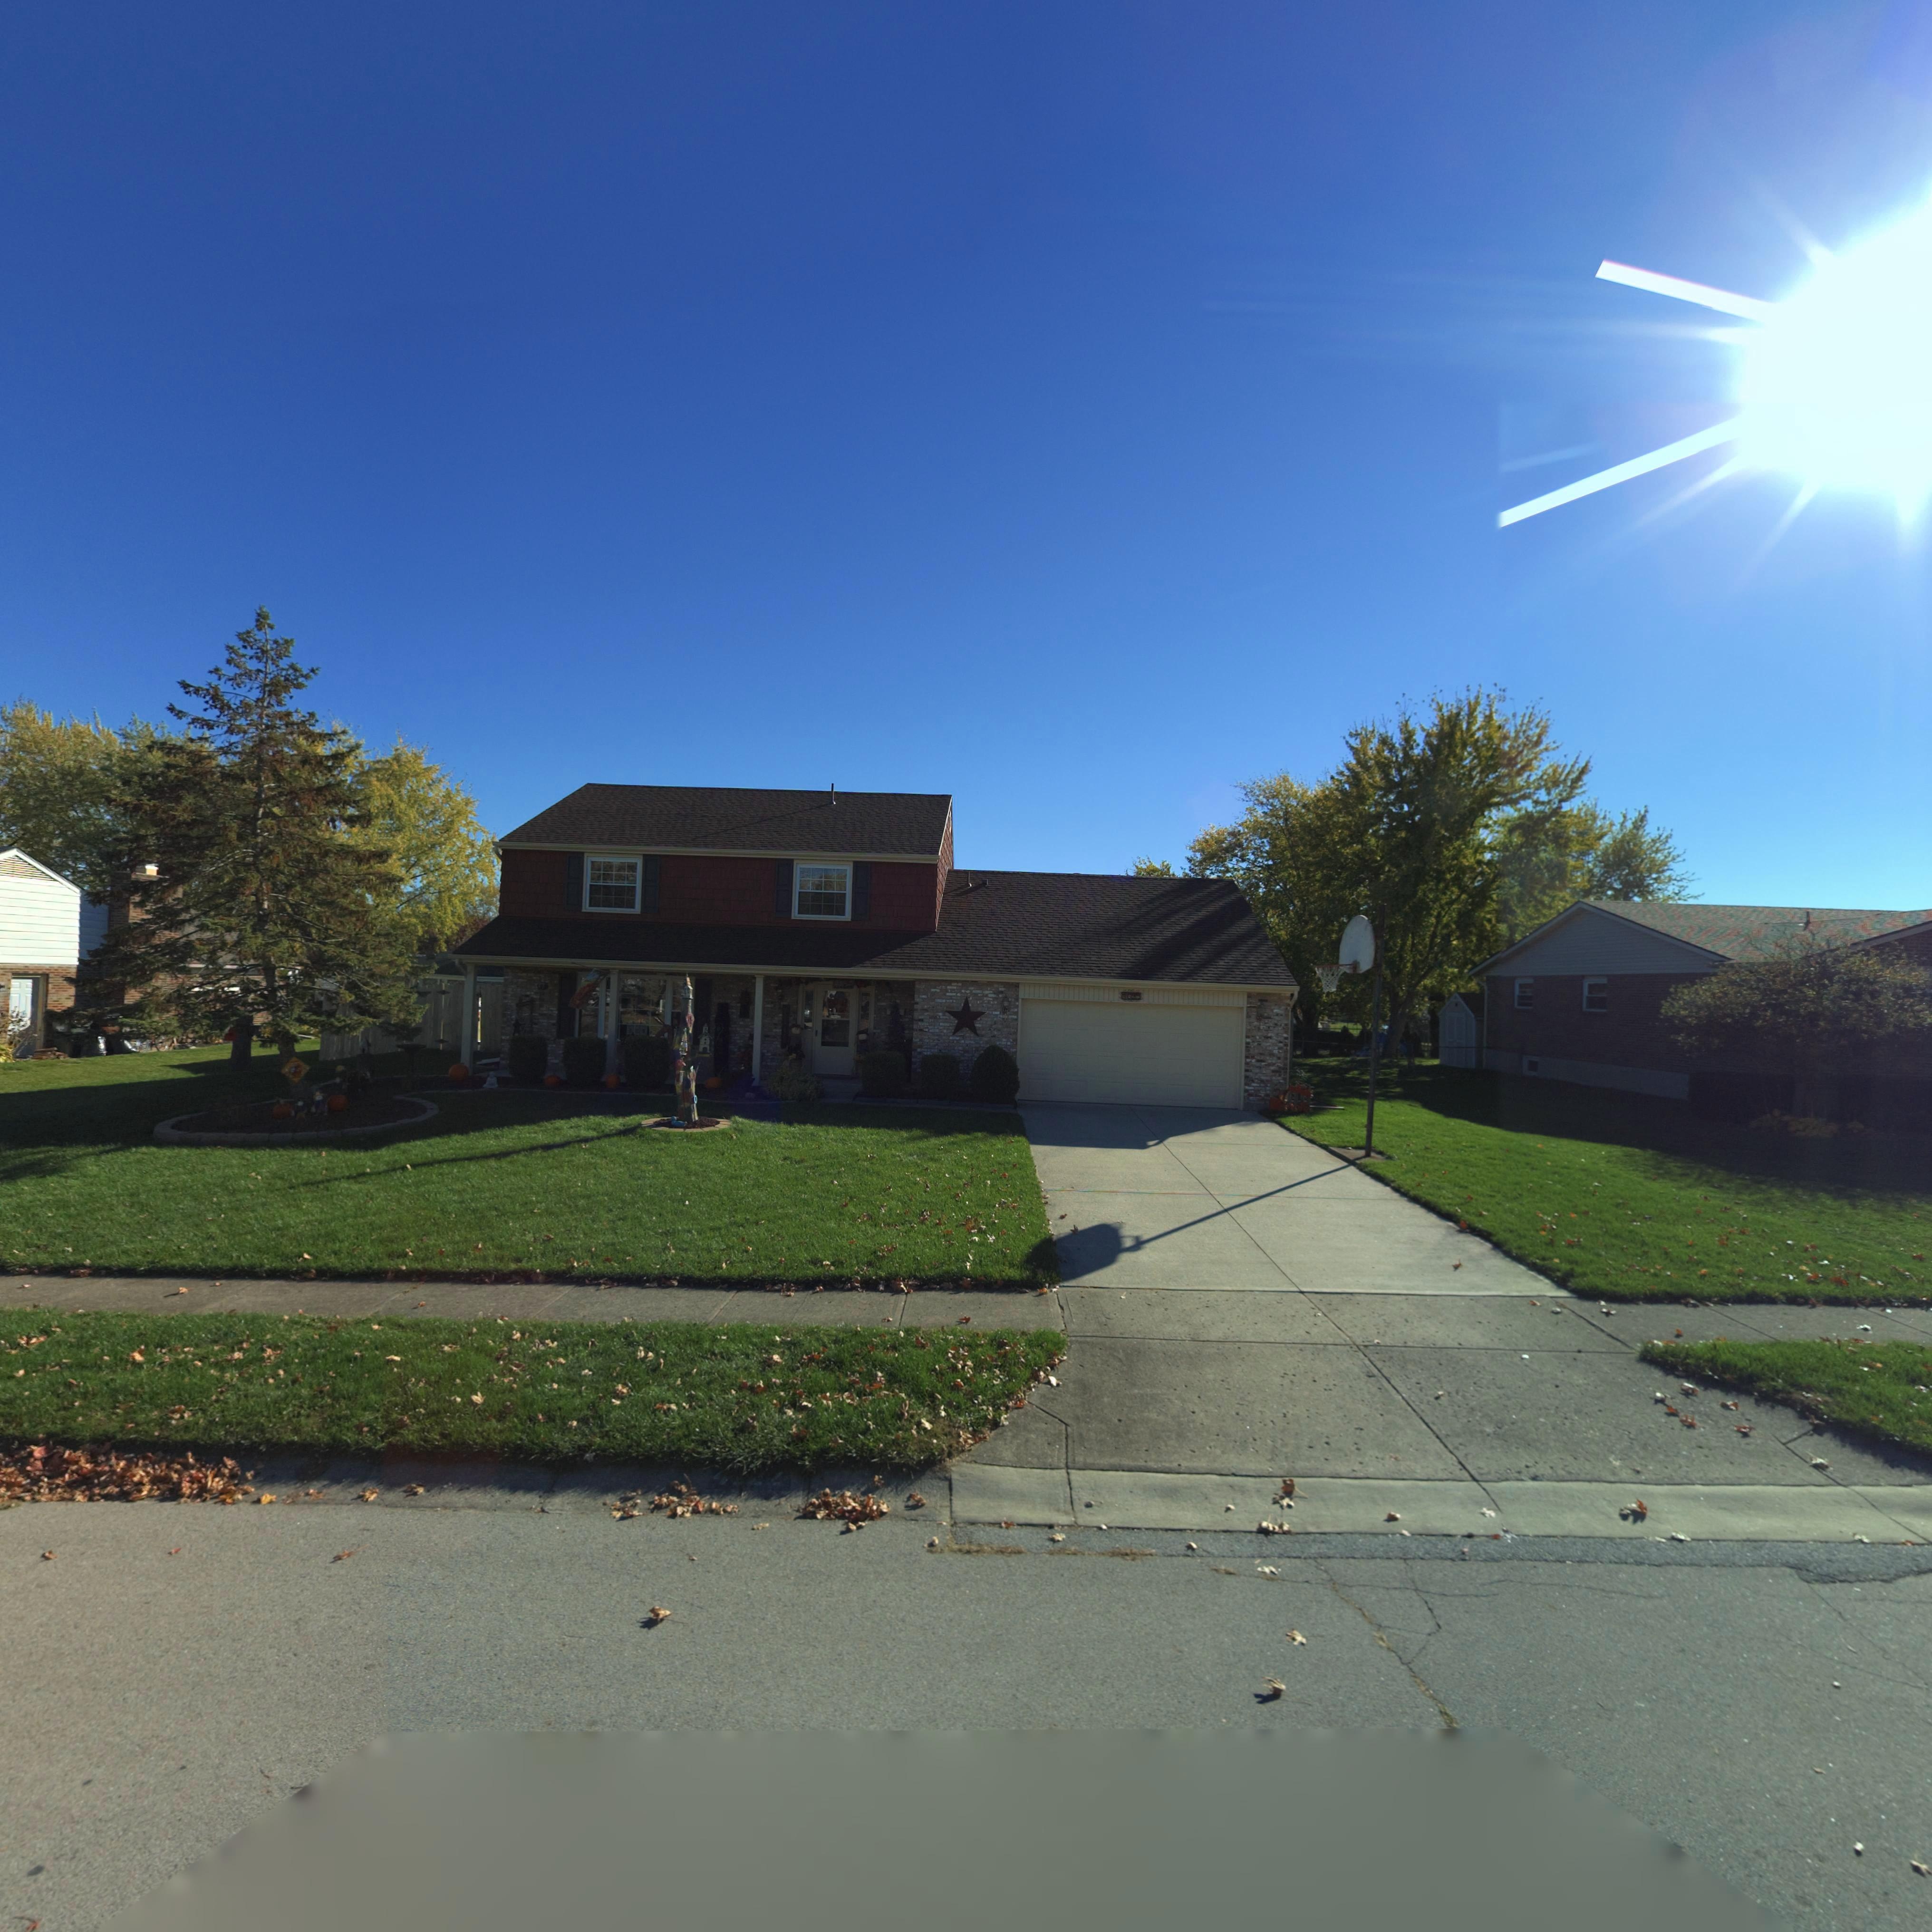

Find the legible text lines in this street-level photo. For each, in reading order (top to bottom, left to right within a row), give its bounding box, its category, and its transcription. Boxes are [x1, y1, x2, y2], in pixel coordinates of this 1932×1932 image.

[1121, 994, 1140, 999] StreetNumber: 4*2*